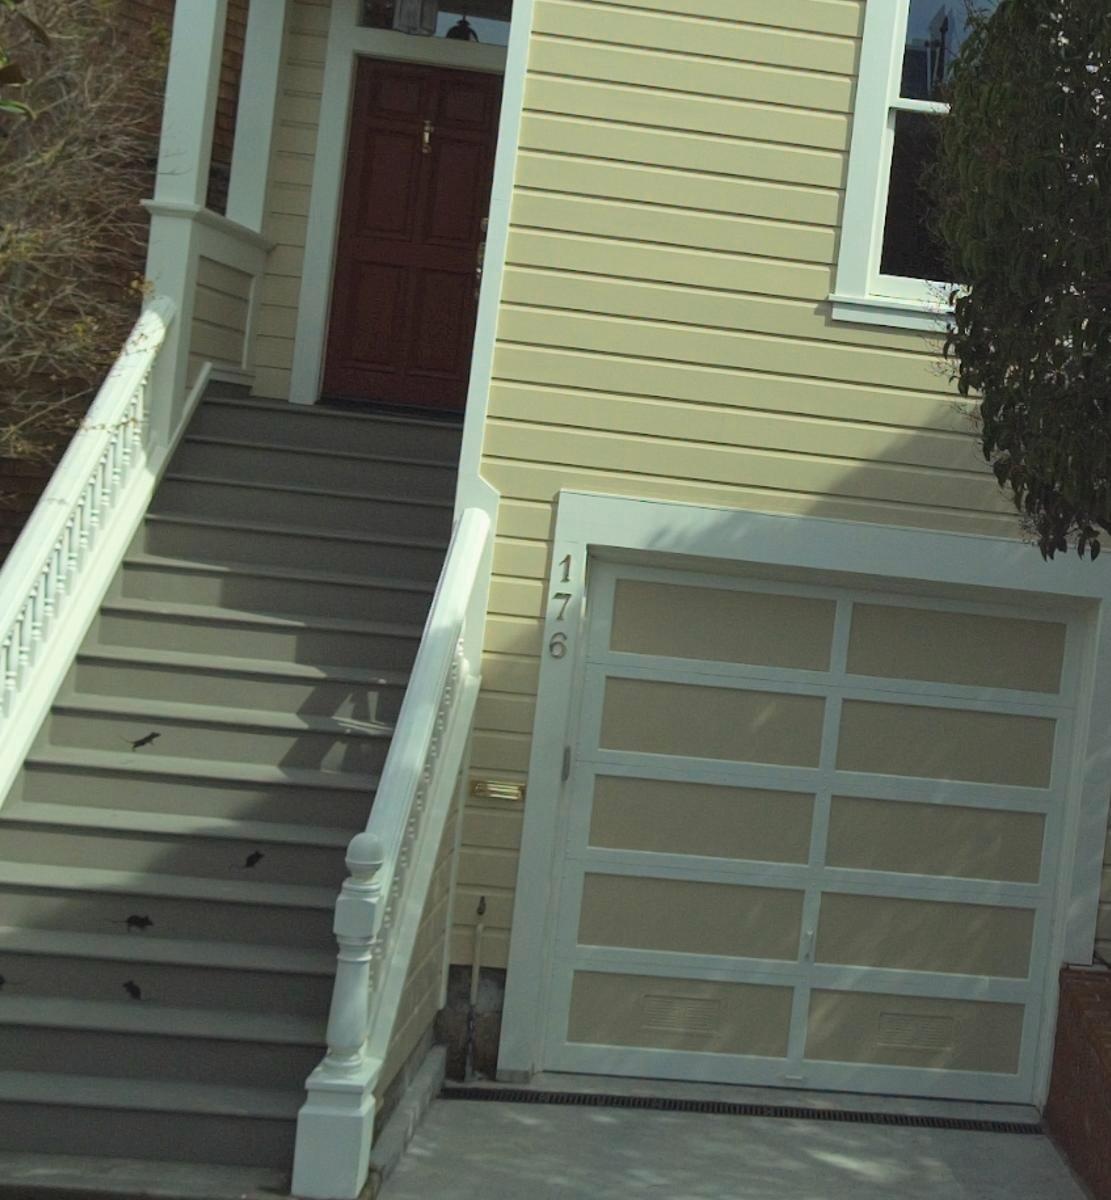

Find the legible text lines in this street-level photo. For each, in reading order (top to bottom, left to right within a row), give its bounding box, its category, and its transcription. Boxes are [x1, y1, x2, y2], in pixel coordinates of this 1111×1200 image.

[500, 500, 611, 700] StreetNumber: 176